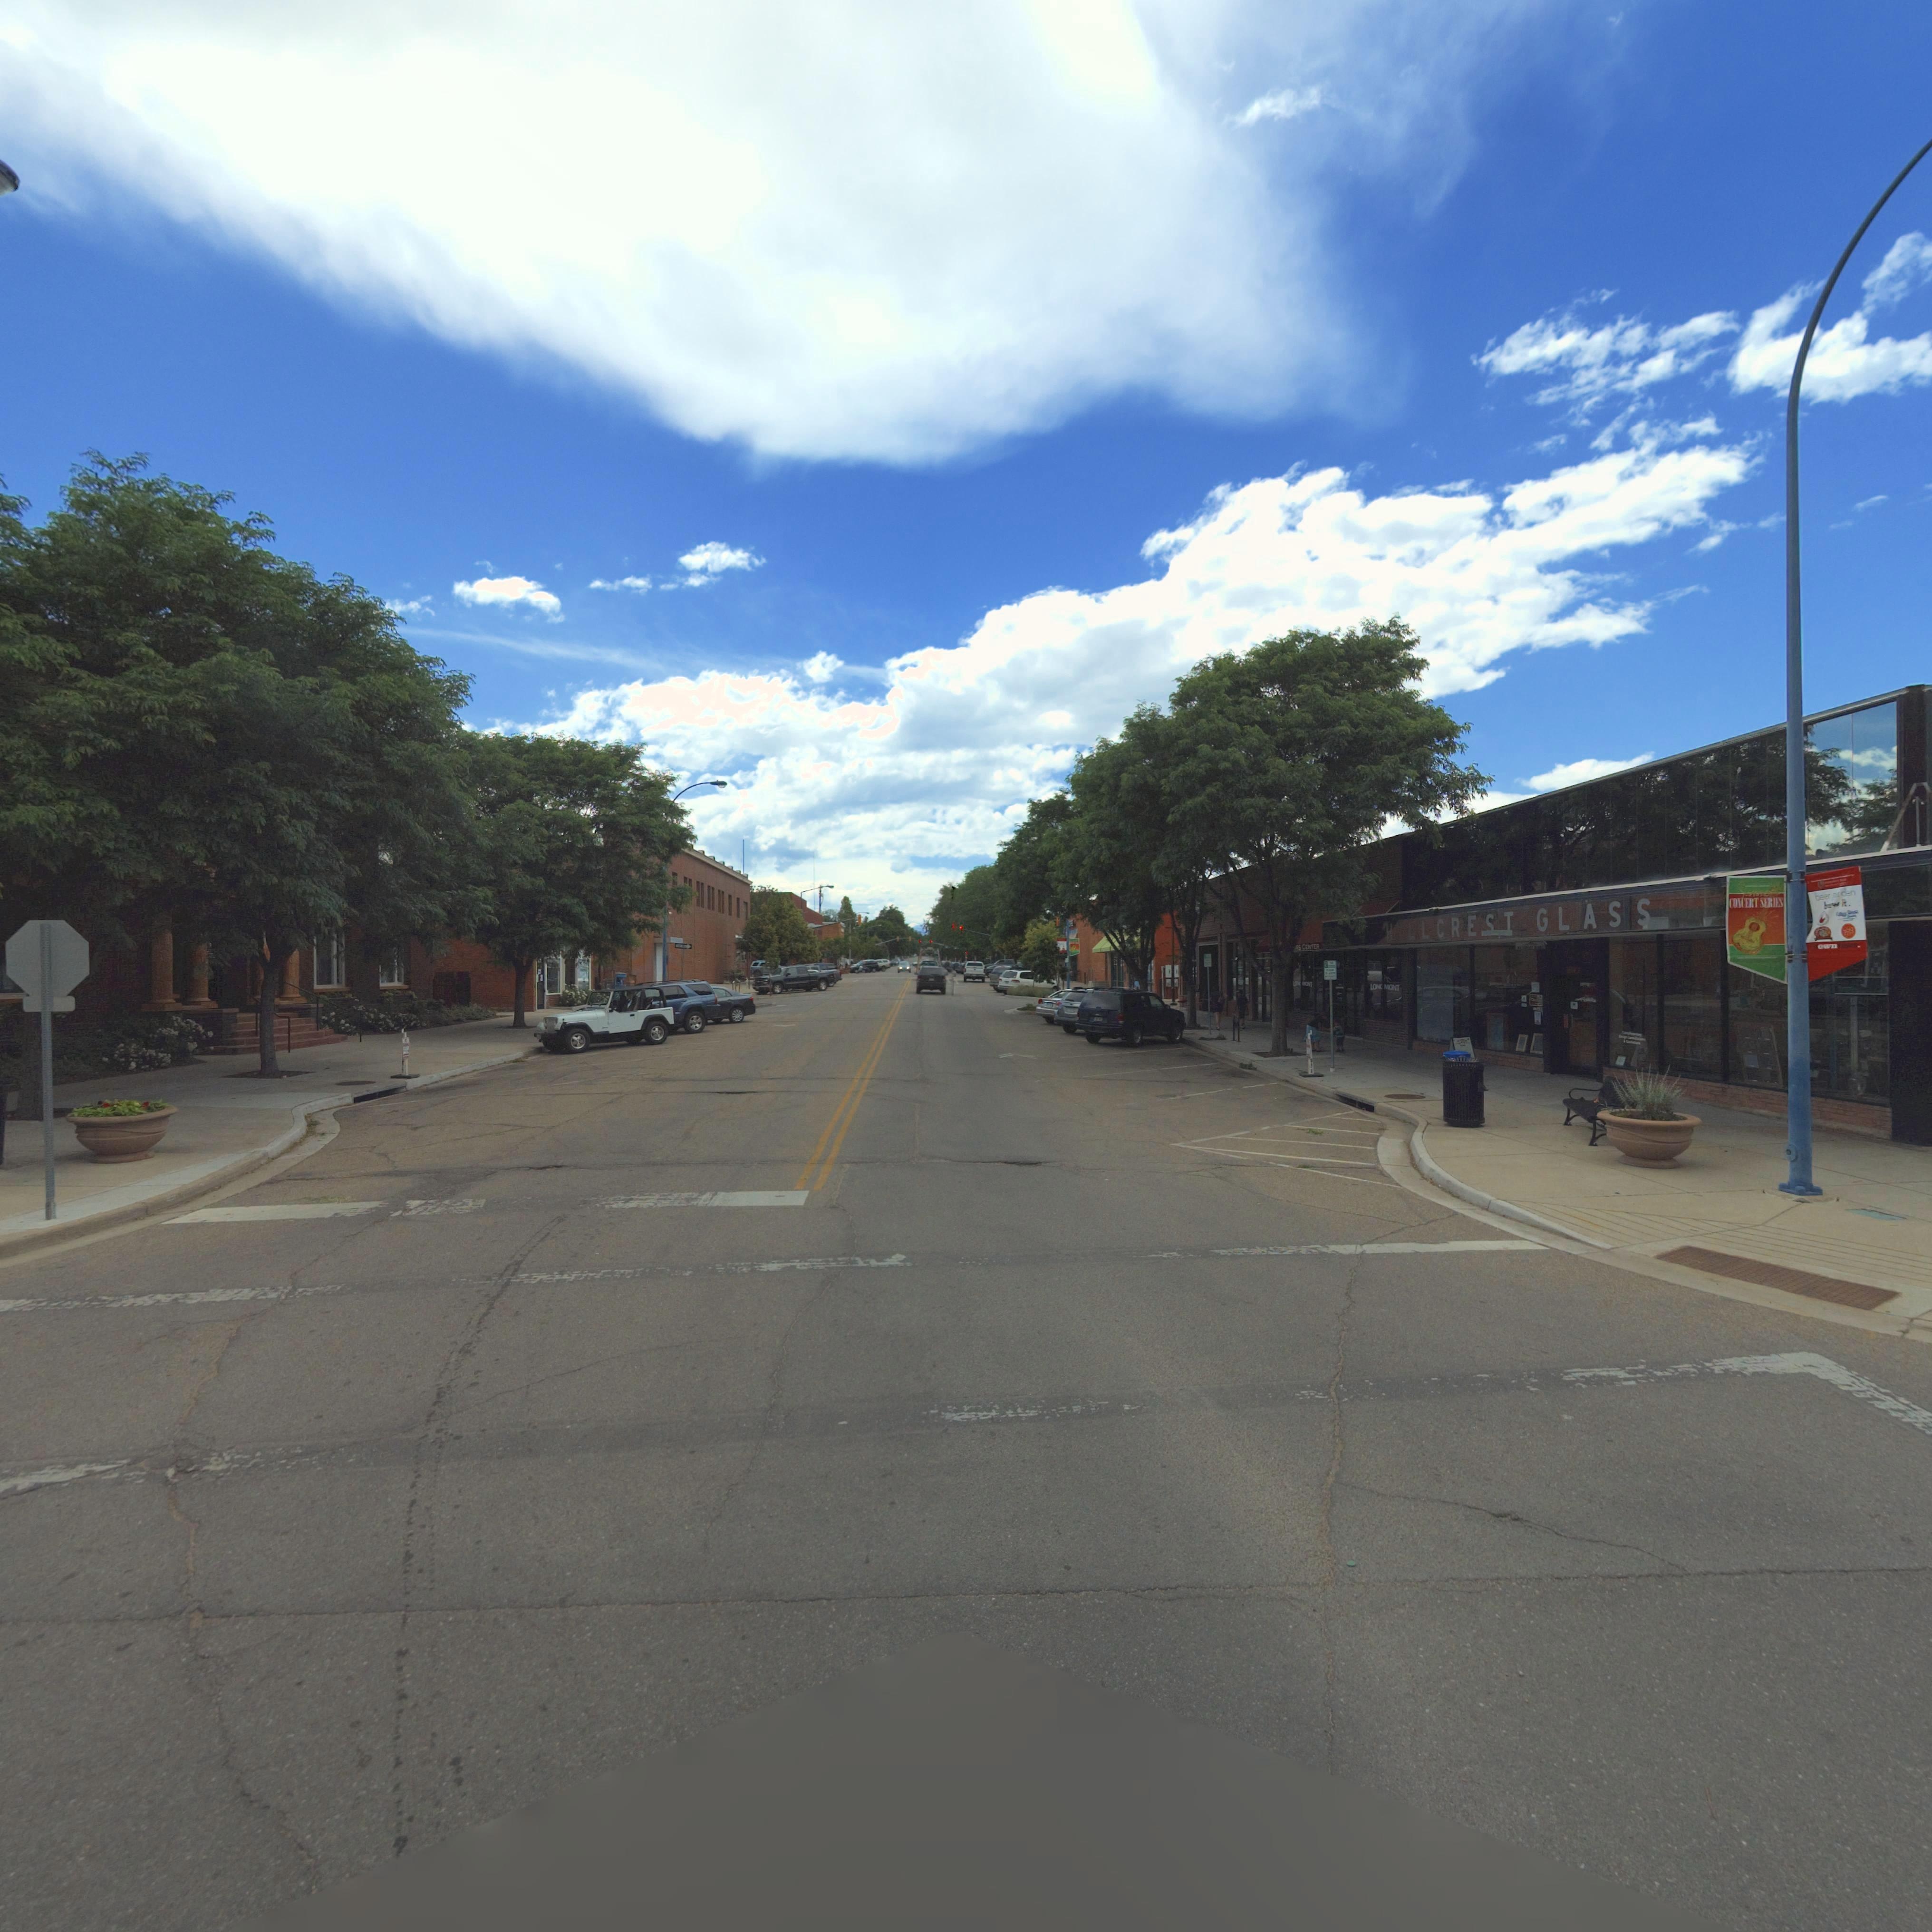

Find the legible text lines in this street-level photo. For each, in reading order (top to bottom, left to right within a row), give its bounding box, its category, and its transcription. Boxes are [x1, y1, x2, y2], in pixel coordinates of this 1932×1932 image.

[1385, 897, 1652, 942] BusinessName: HILLCREST GLASS
[1295, 944, 1319, 950] BusinessName: RS CENTER